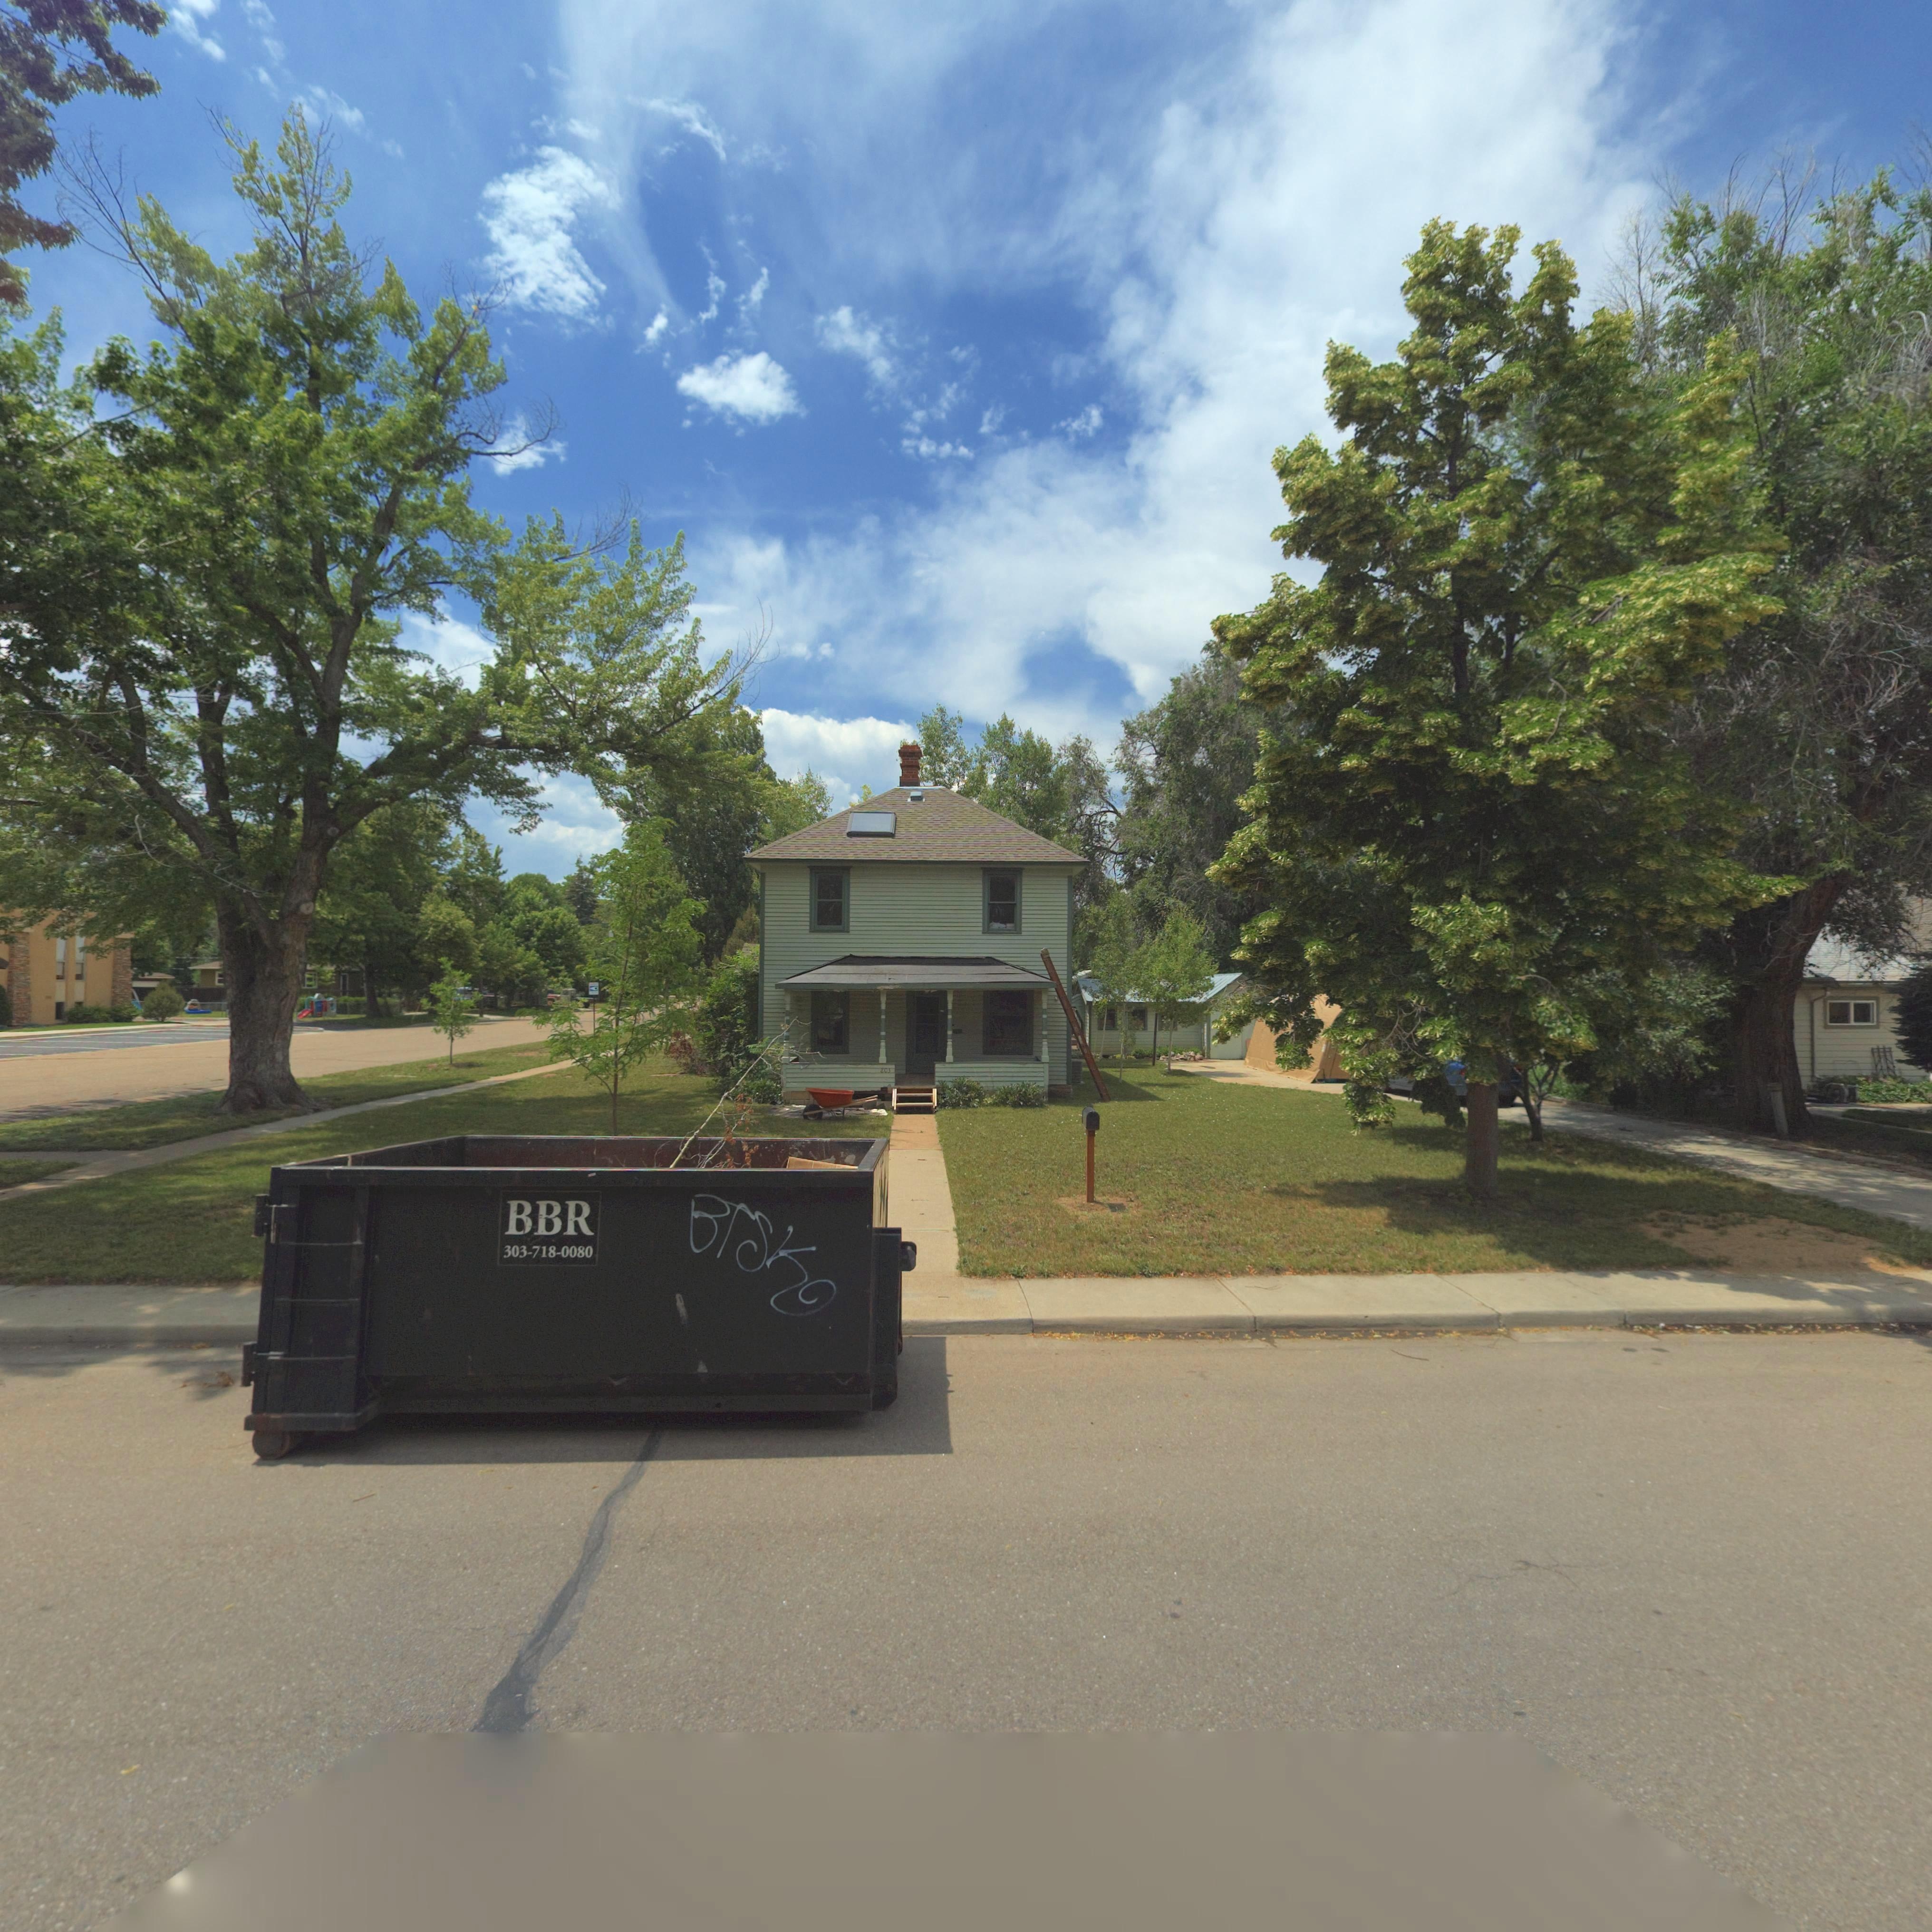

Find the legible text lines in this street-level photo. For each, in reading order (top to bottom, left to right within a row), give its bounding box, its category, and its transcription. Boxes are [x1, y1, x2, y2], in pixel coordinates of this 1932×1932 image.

[880, 1067, 890, 1073] StreetNumber: 803